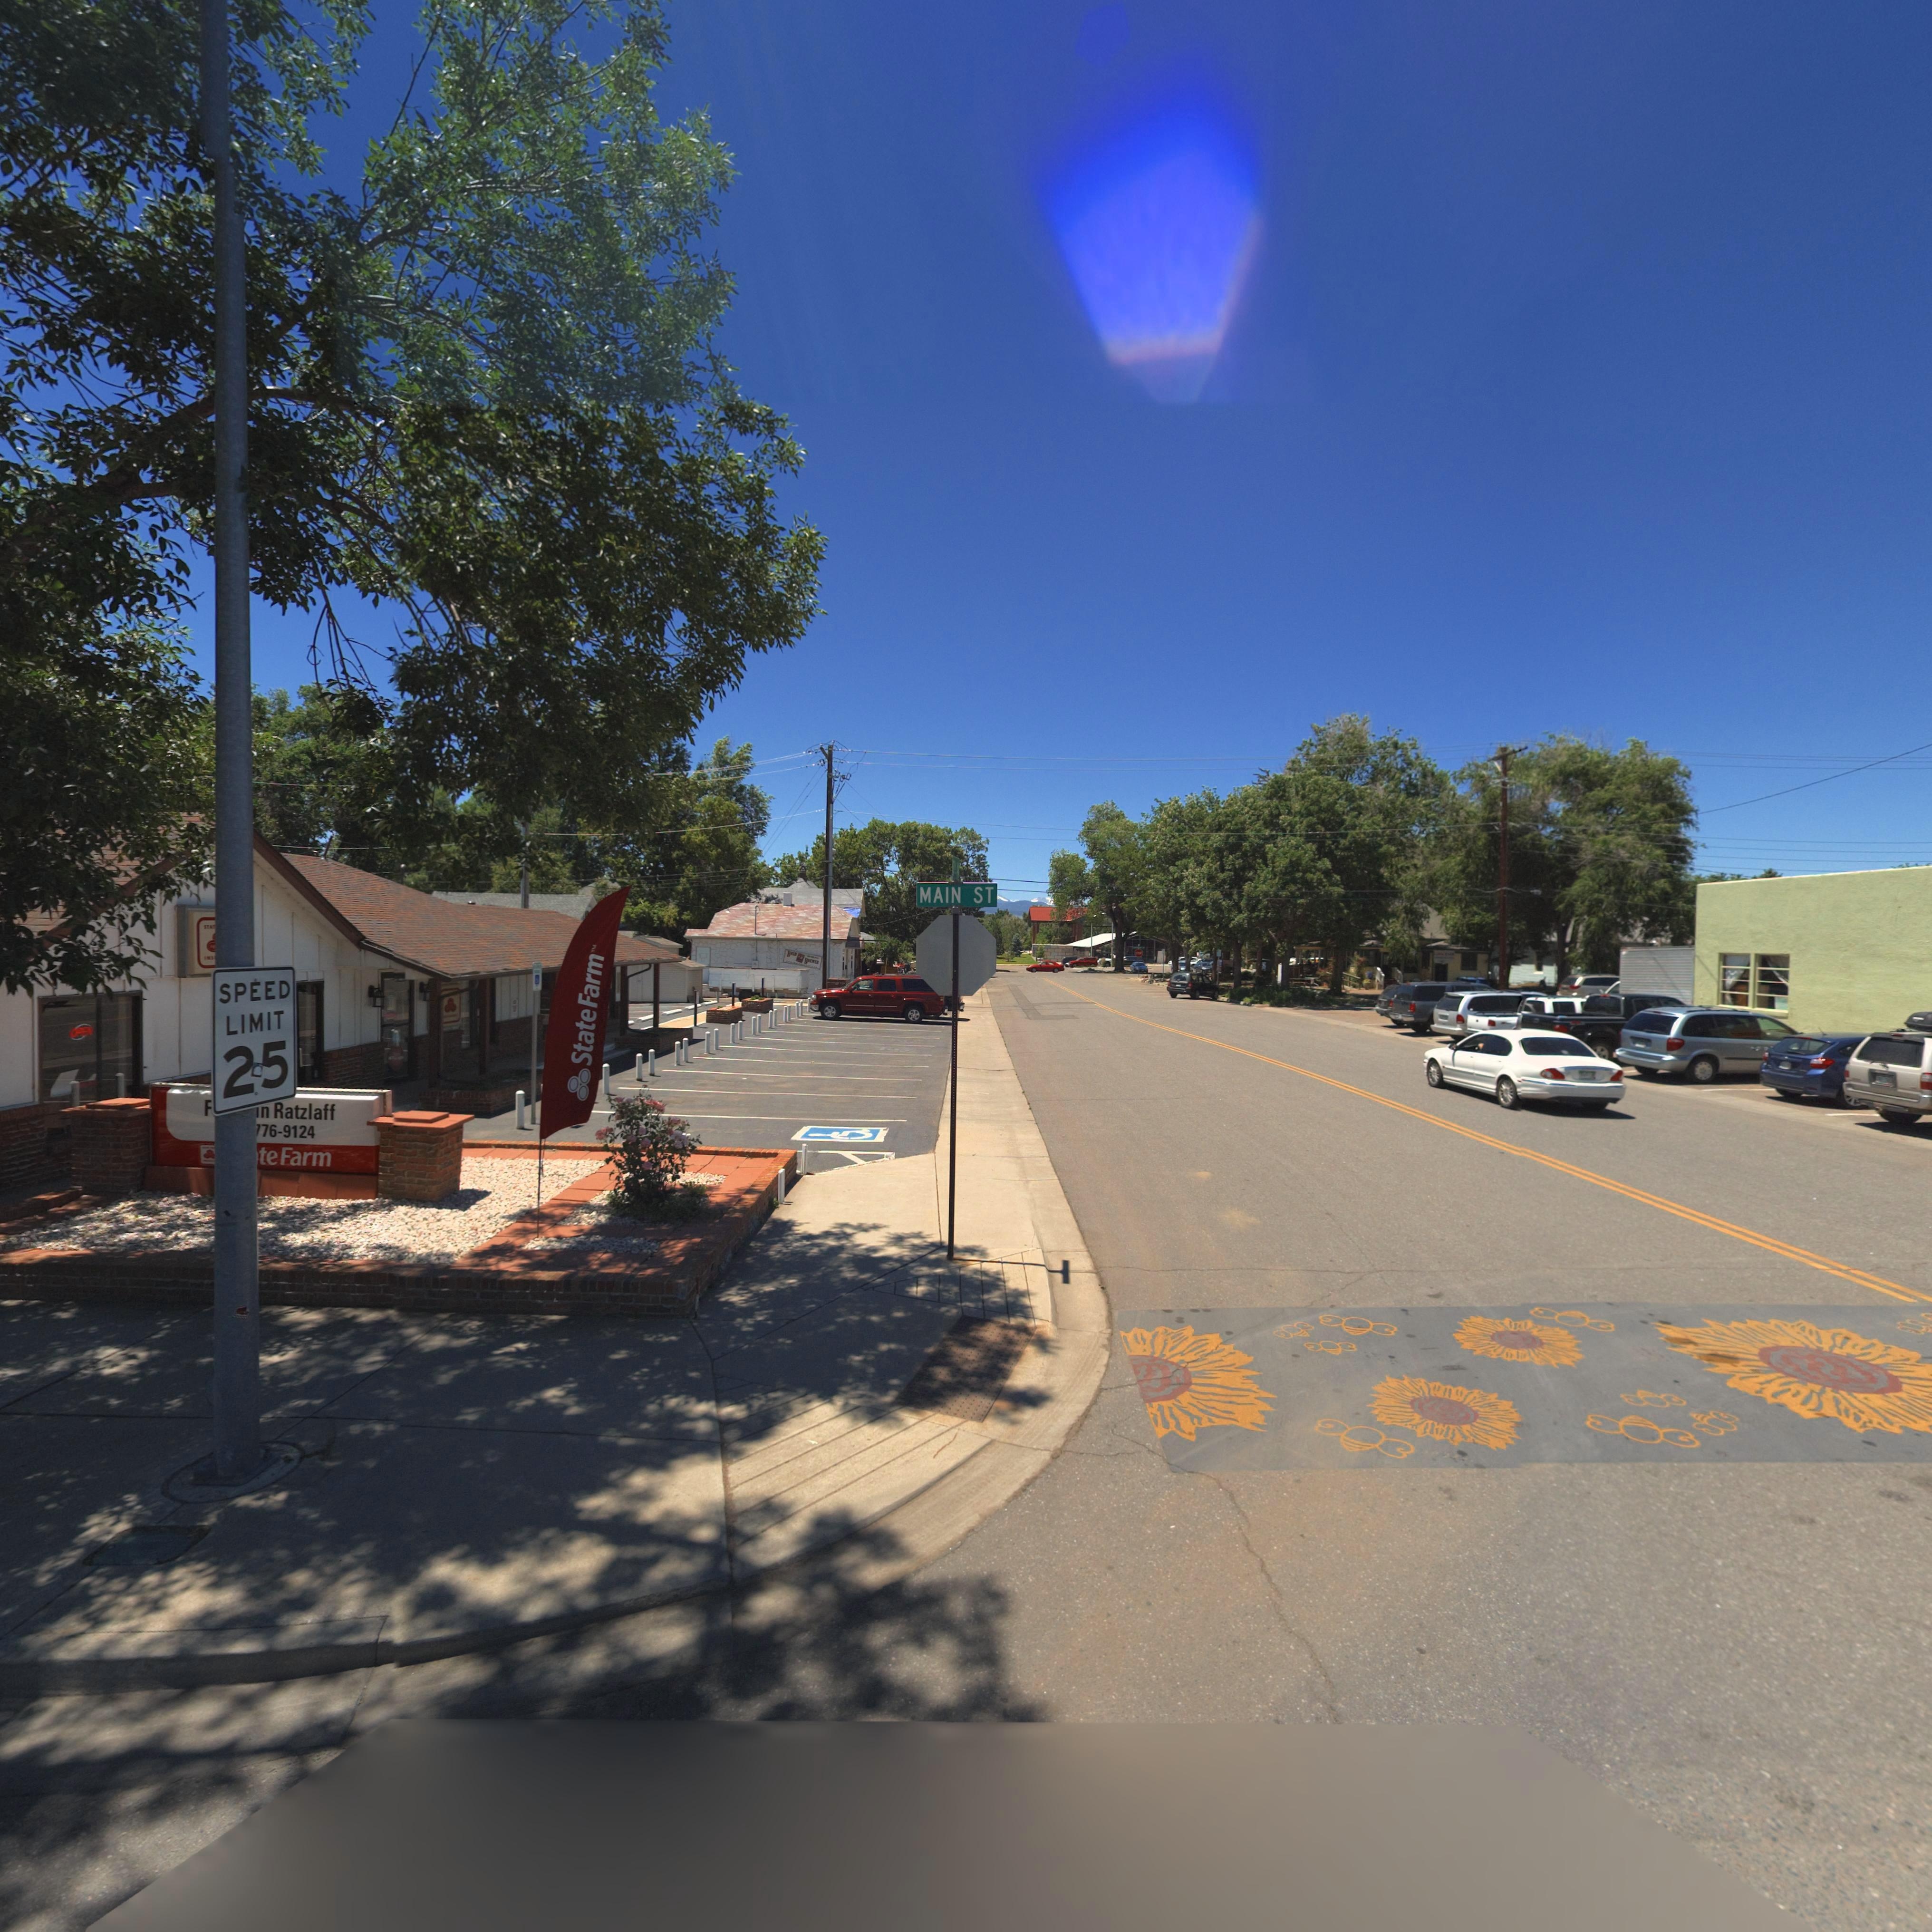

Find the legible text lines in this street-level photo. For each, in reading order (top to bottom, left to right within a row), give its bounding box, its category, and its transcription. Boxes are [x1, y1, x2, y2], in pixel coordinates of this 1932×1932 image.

[952, 859, 960, 878] StreetName: *** AV
[919, 886, 994, 904] StreetName: MAIN ST
[203, 924, 216, 929] BusinessName: STAT
[787, 950, 797, 956] BusinessName: BALD
[804, 957, 819, 964] BusinessName: BREWER
[570, 953, 604, 1066] BusinessName: State Farm
[258, 1146, 331, 1167] BusinessName: te Farm